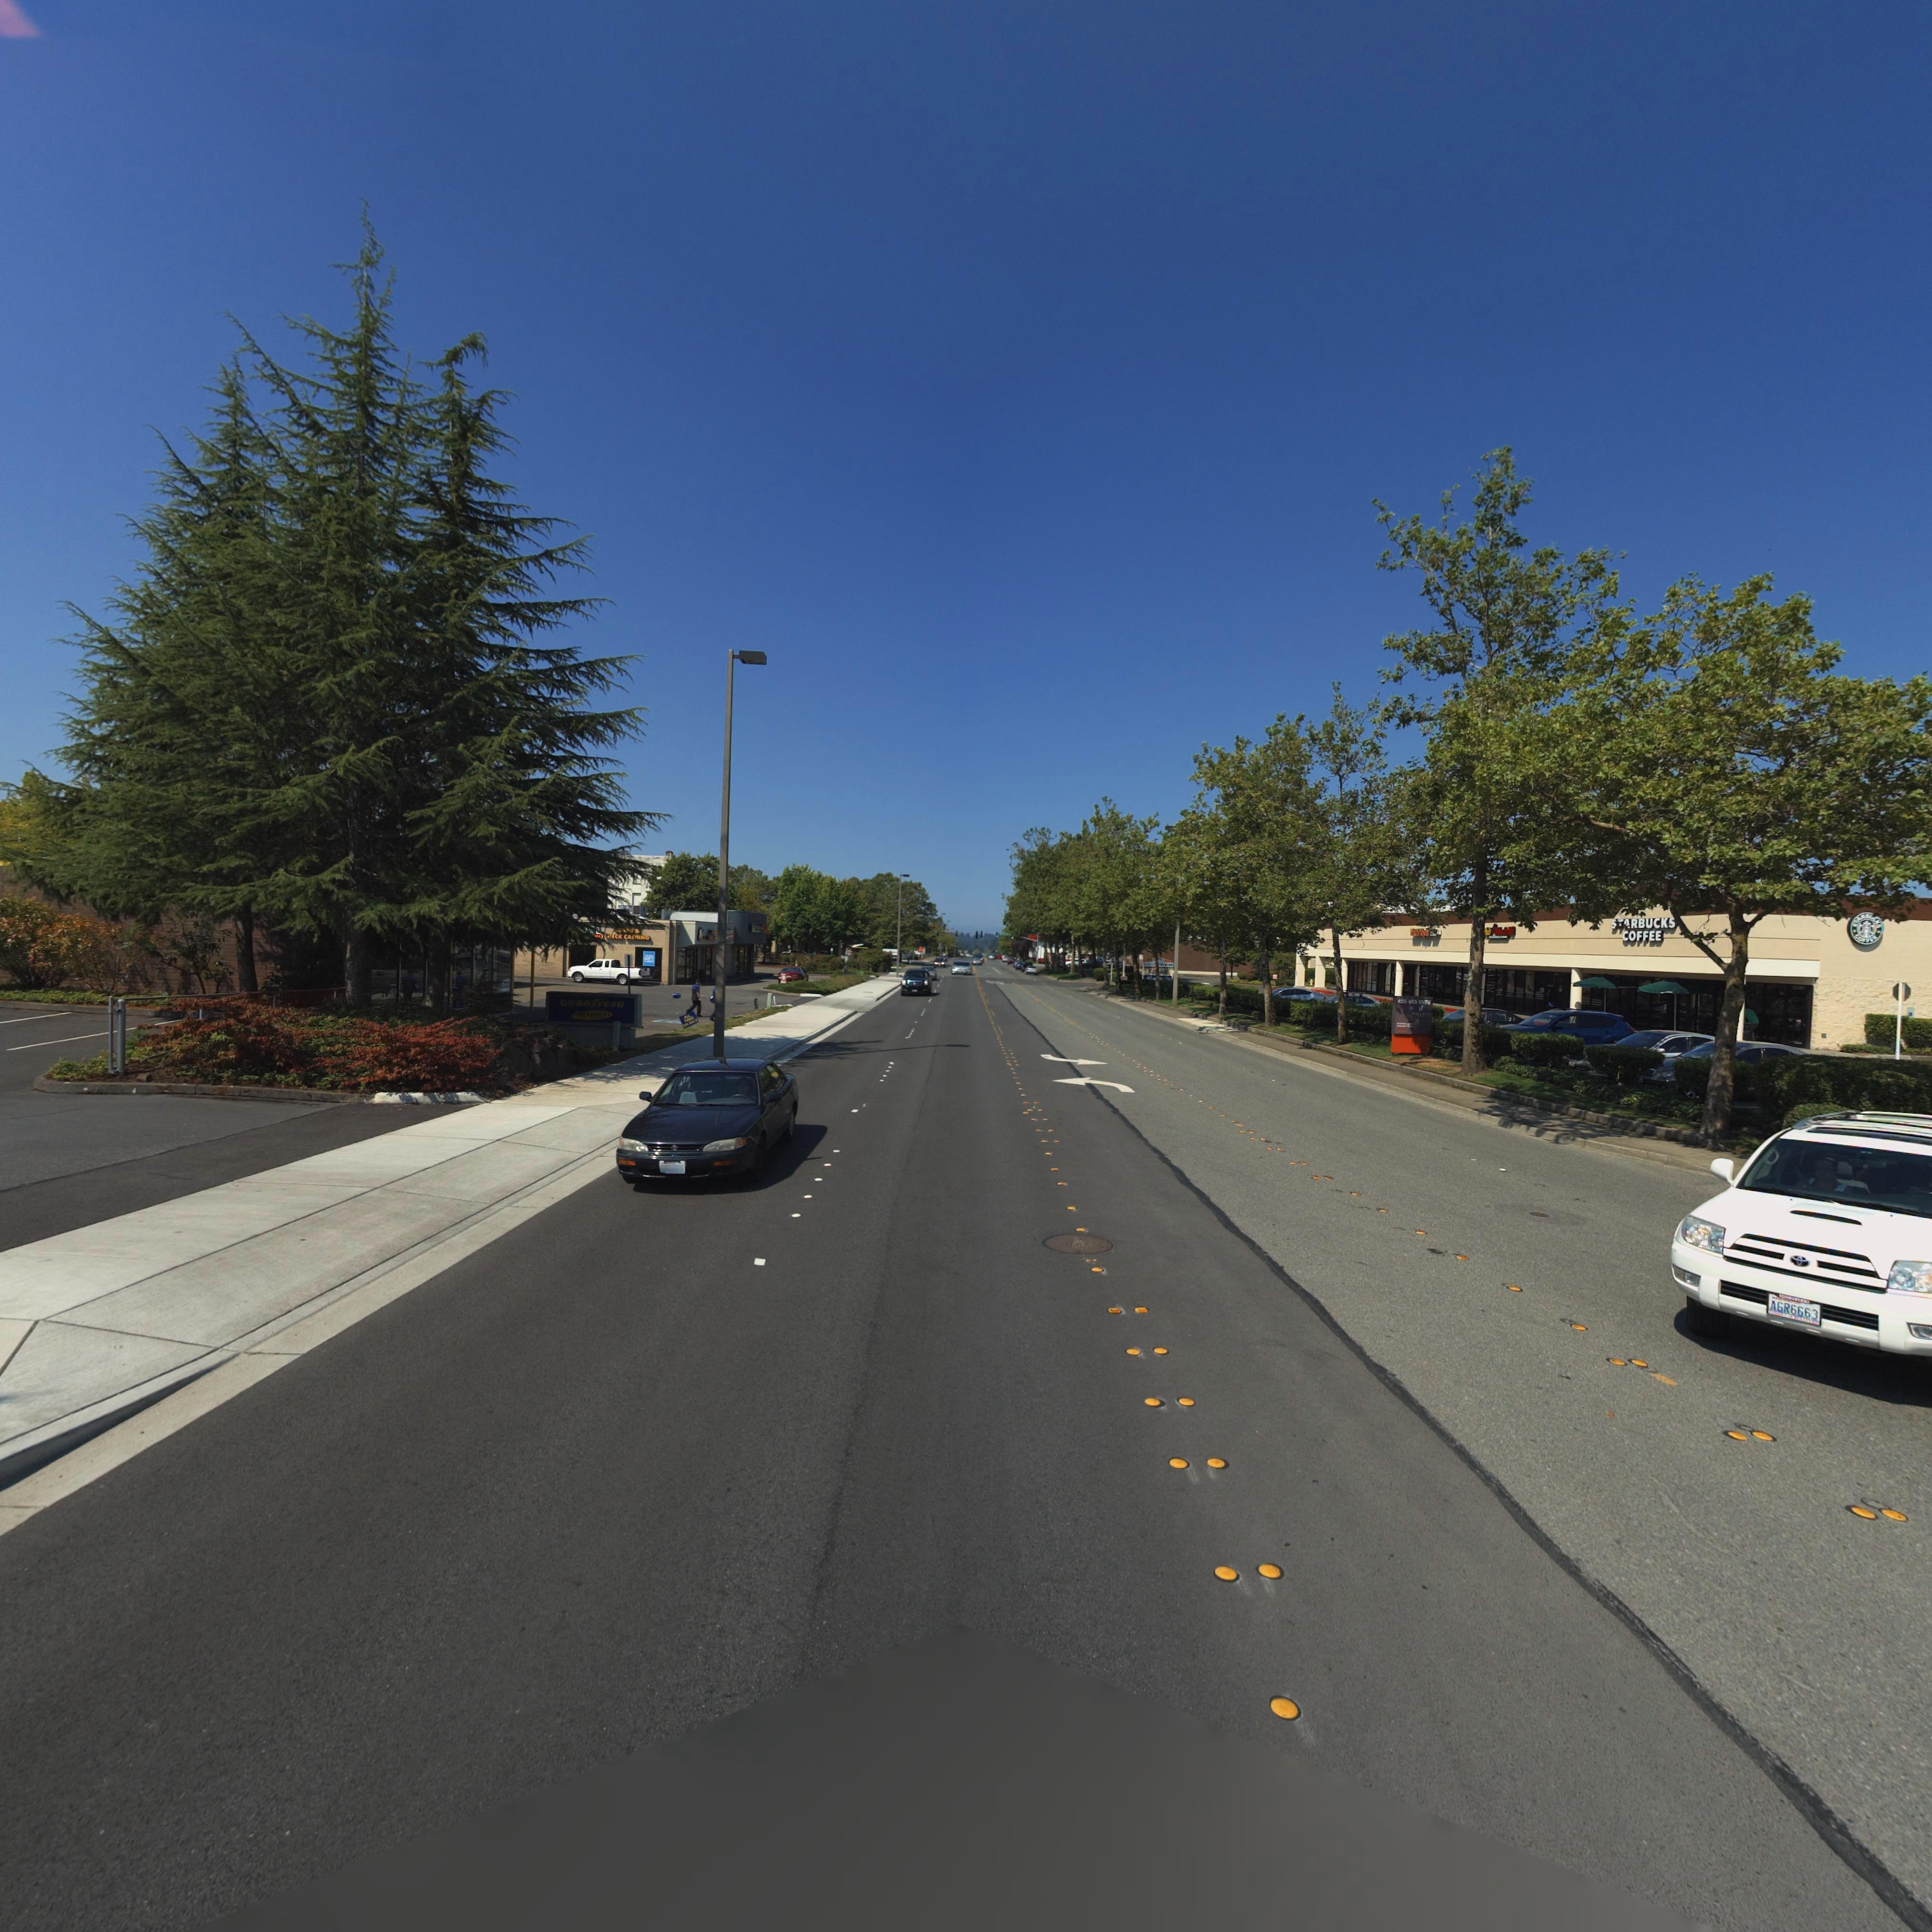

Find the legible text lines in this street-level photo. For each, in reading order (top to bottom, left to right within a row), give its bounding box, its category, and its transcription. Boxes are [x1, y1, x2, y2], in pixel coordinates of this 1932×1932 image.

[1631, 917, 1668, 928] BusinessName: RBUCK
[614, 934, 623, 939] BusinessName: CK
[623, 934, 650, 940] BusinessName: CA**ING
[1622, 930, 1663, 942] BusinessName: COFFEE
[560, 998, 625, 1008] BusinessName: *OOD*YEAR